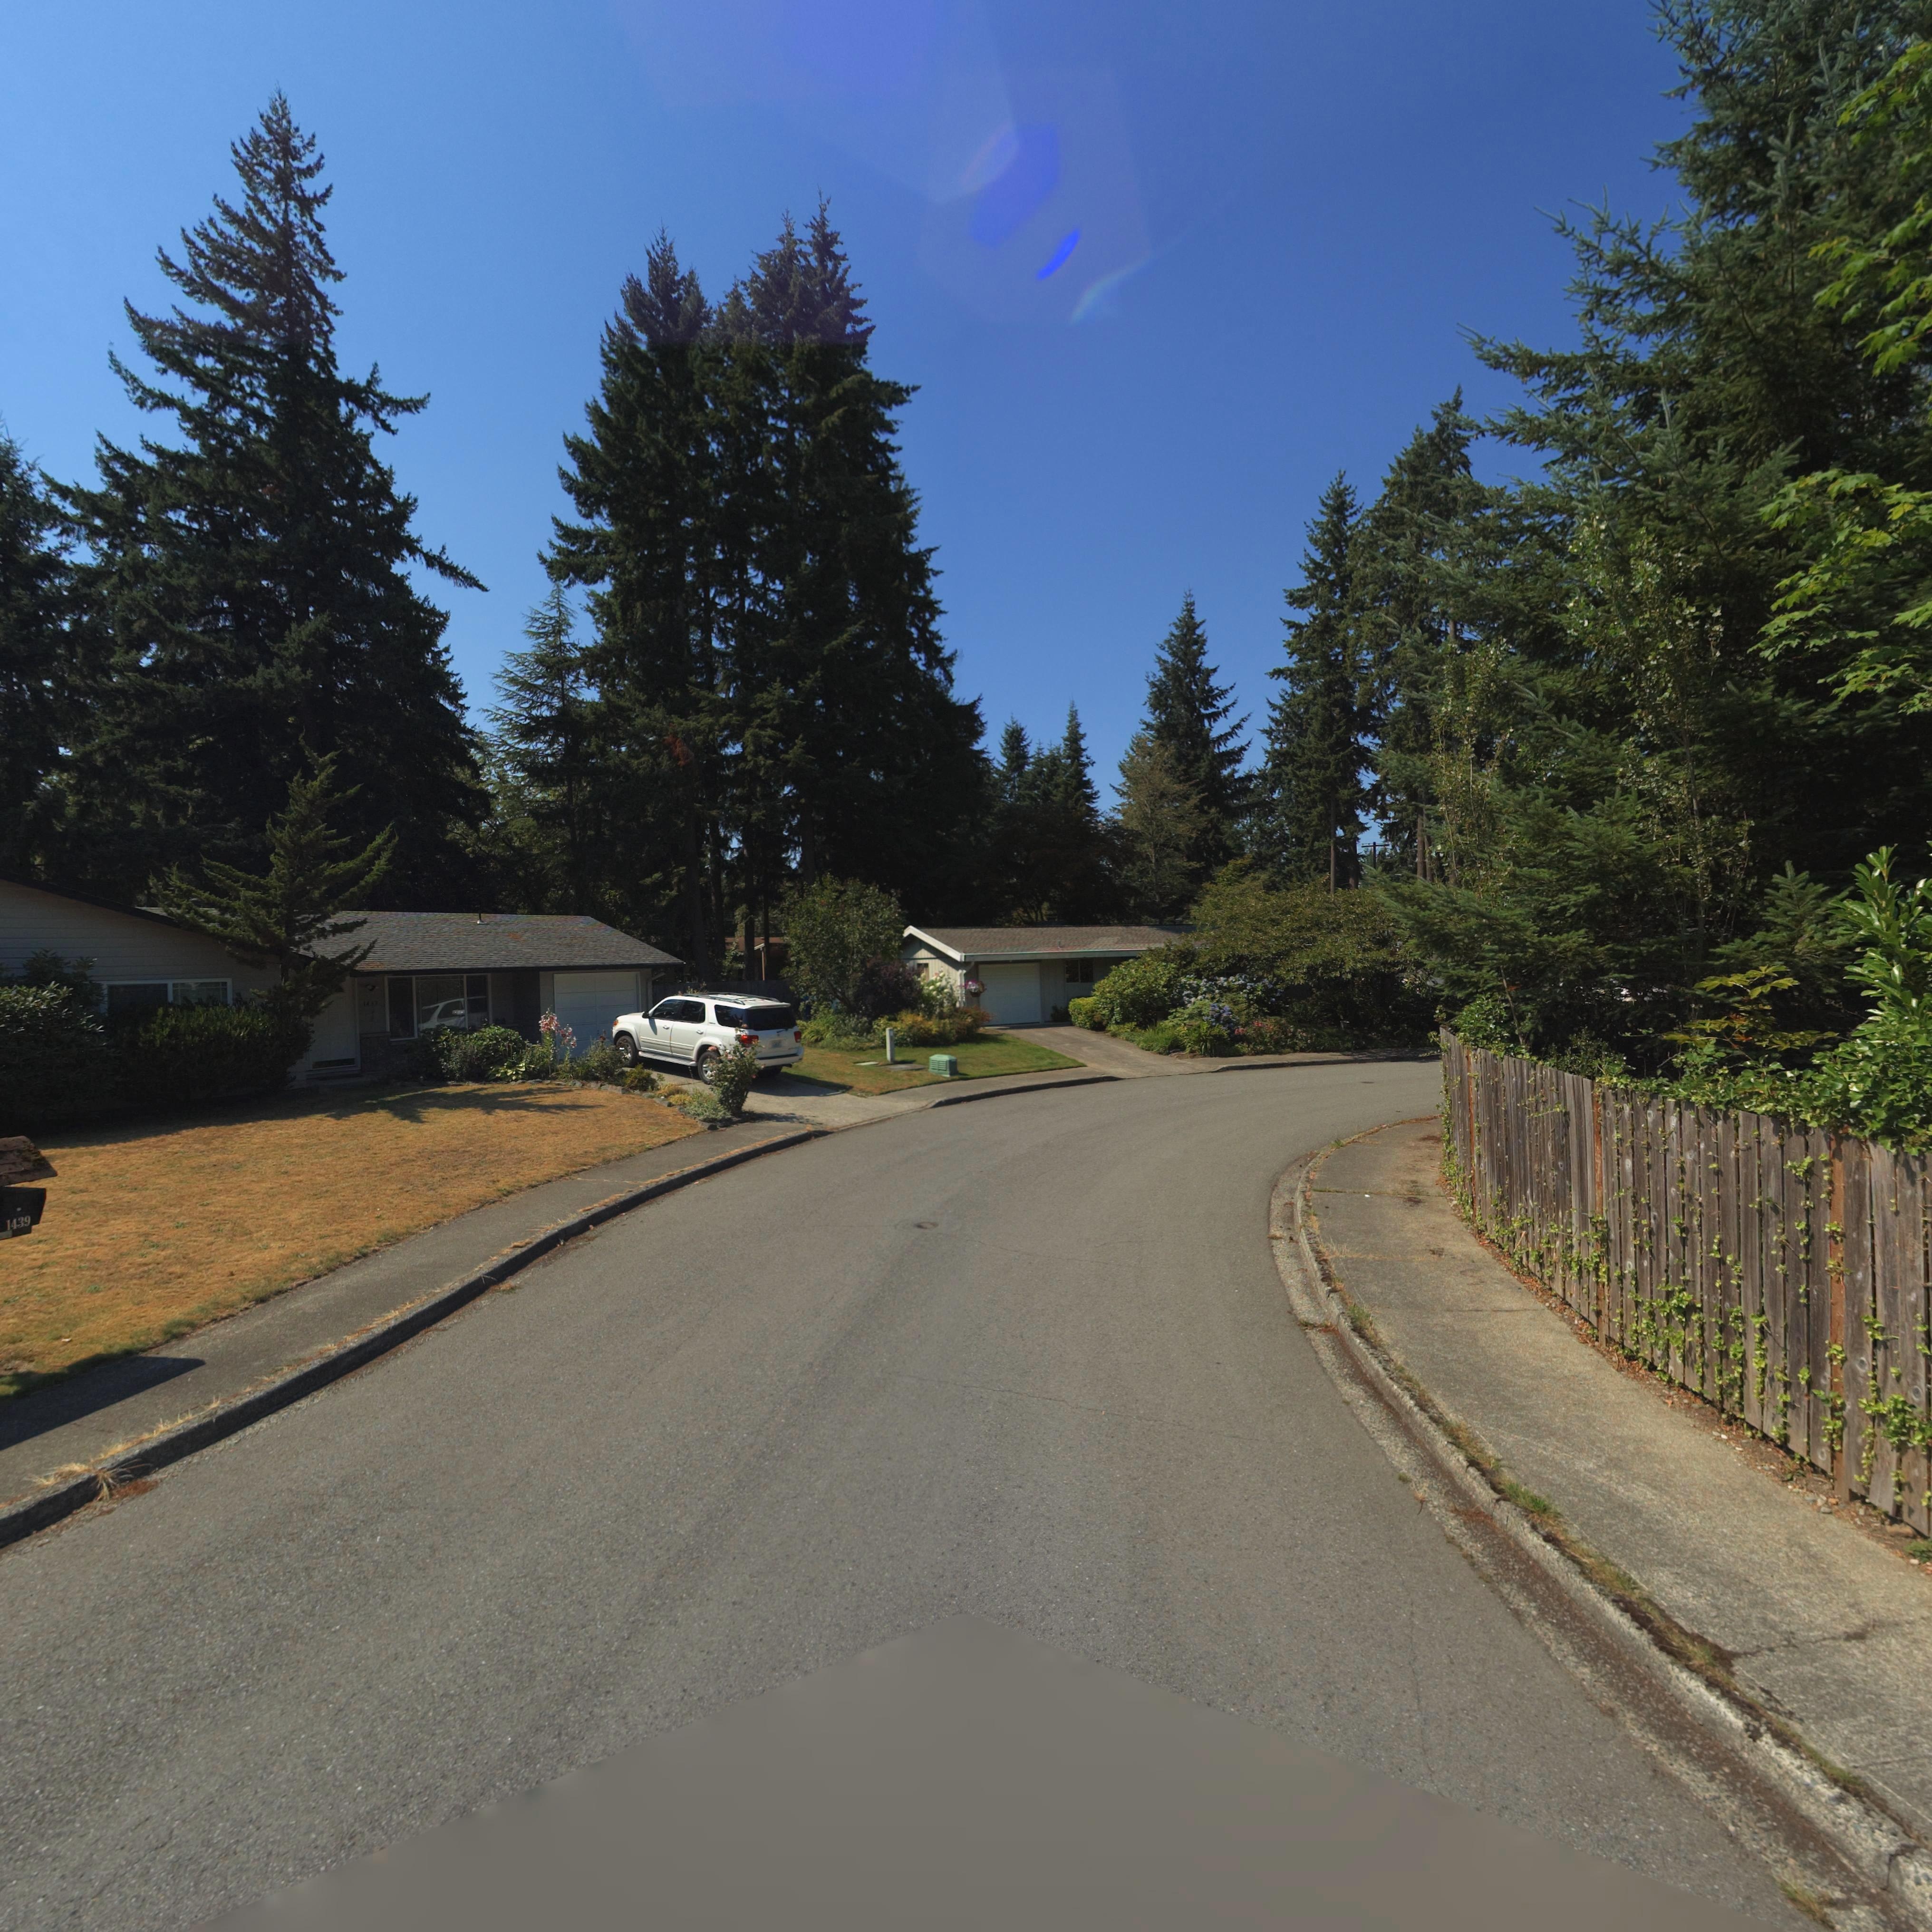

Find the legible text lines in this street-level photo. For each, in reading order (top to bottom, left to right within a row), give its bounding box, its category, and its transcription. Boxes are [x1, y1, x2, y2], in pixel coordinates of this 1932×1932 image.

[5, 1214, 31, 1232] StreetNumber: 1439